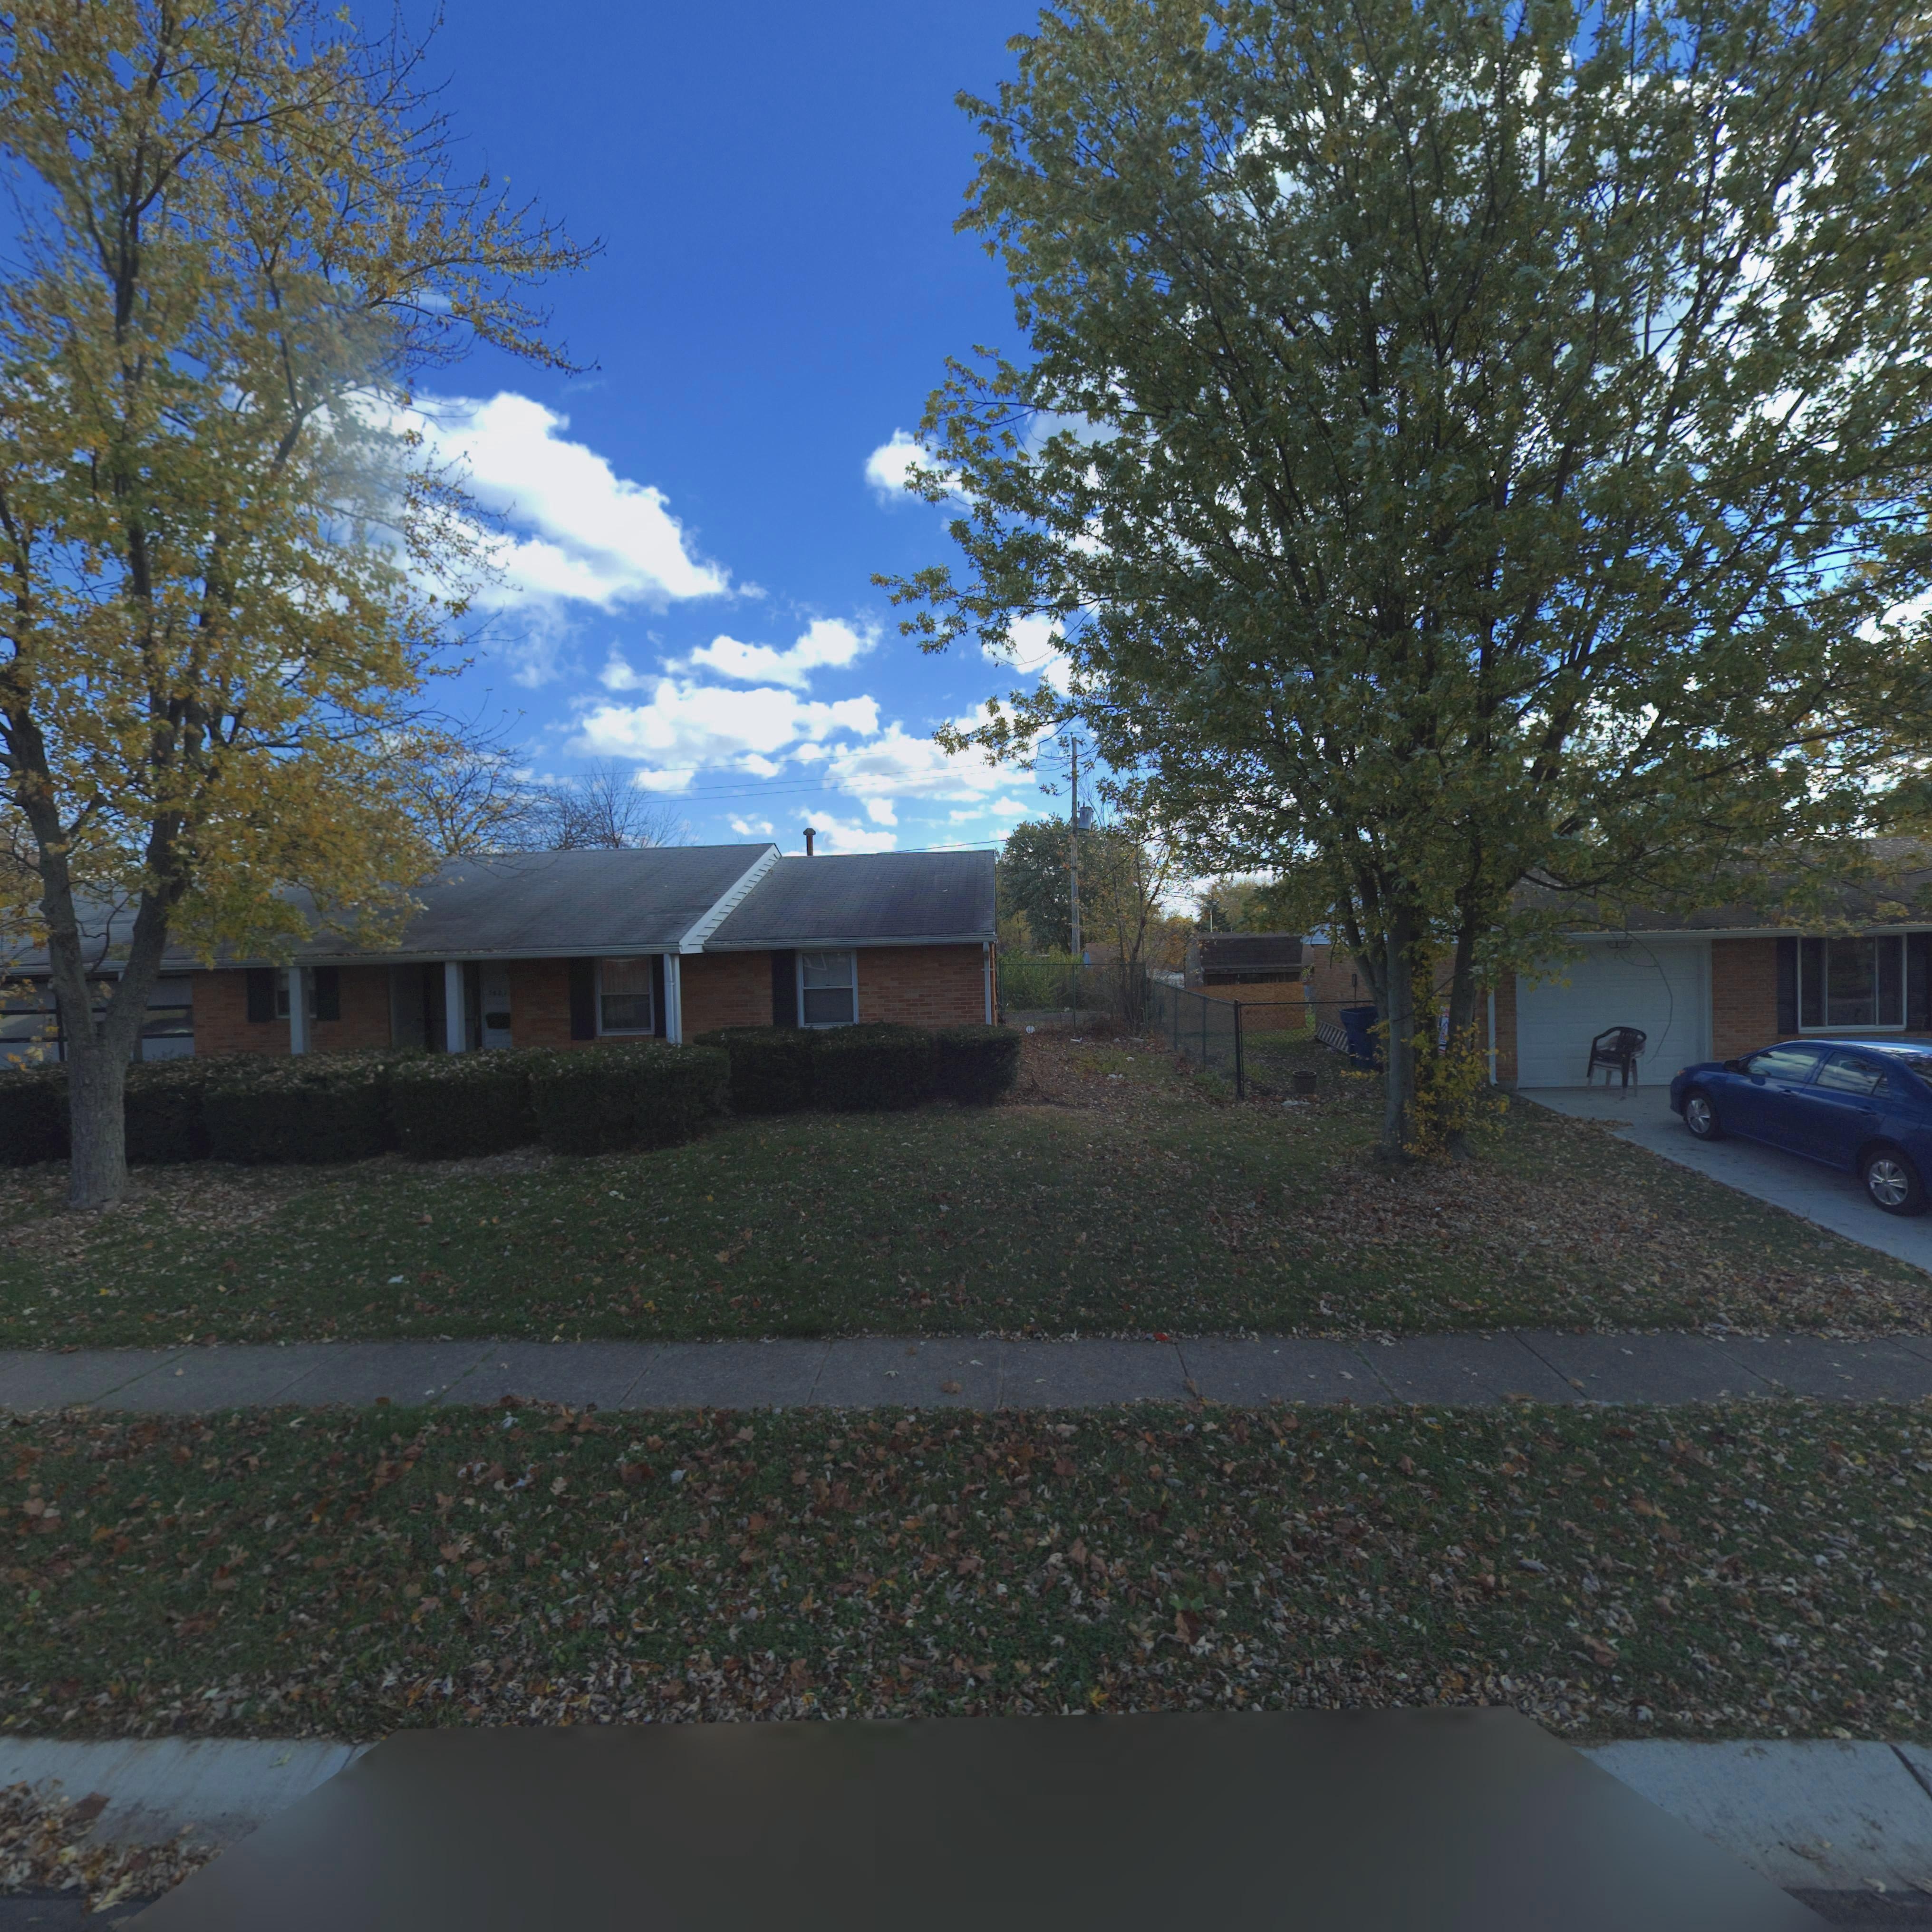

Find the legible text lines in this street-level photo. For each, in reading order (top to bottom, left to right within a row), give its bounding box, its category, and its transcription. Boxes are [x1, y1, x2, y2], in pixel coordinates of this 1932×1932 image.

[487, 989, 507, 996] StreetNumber: 7***